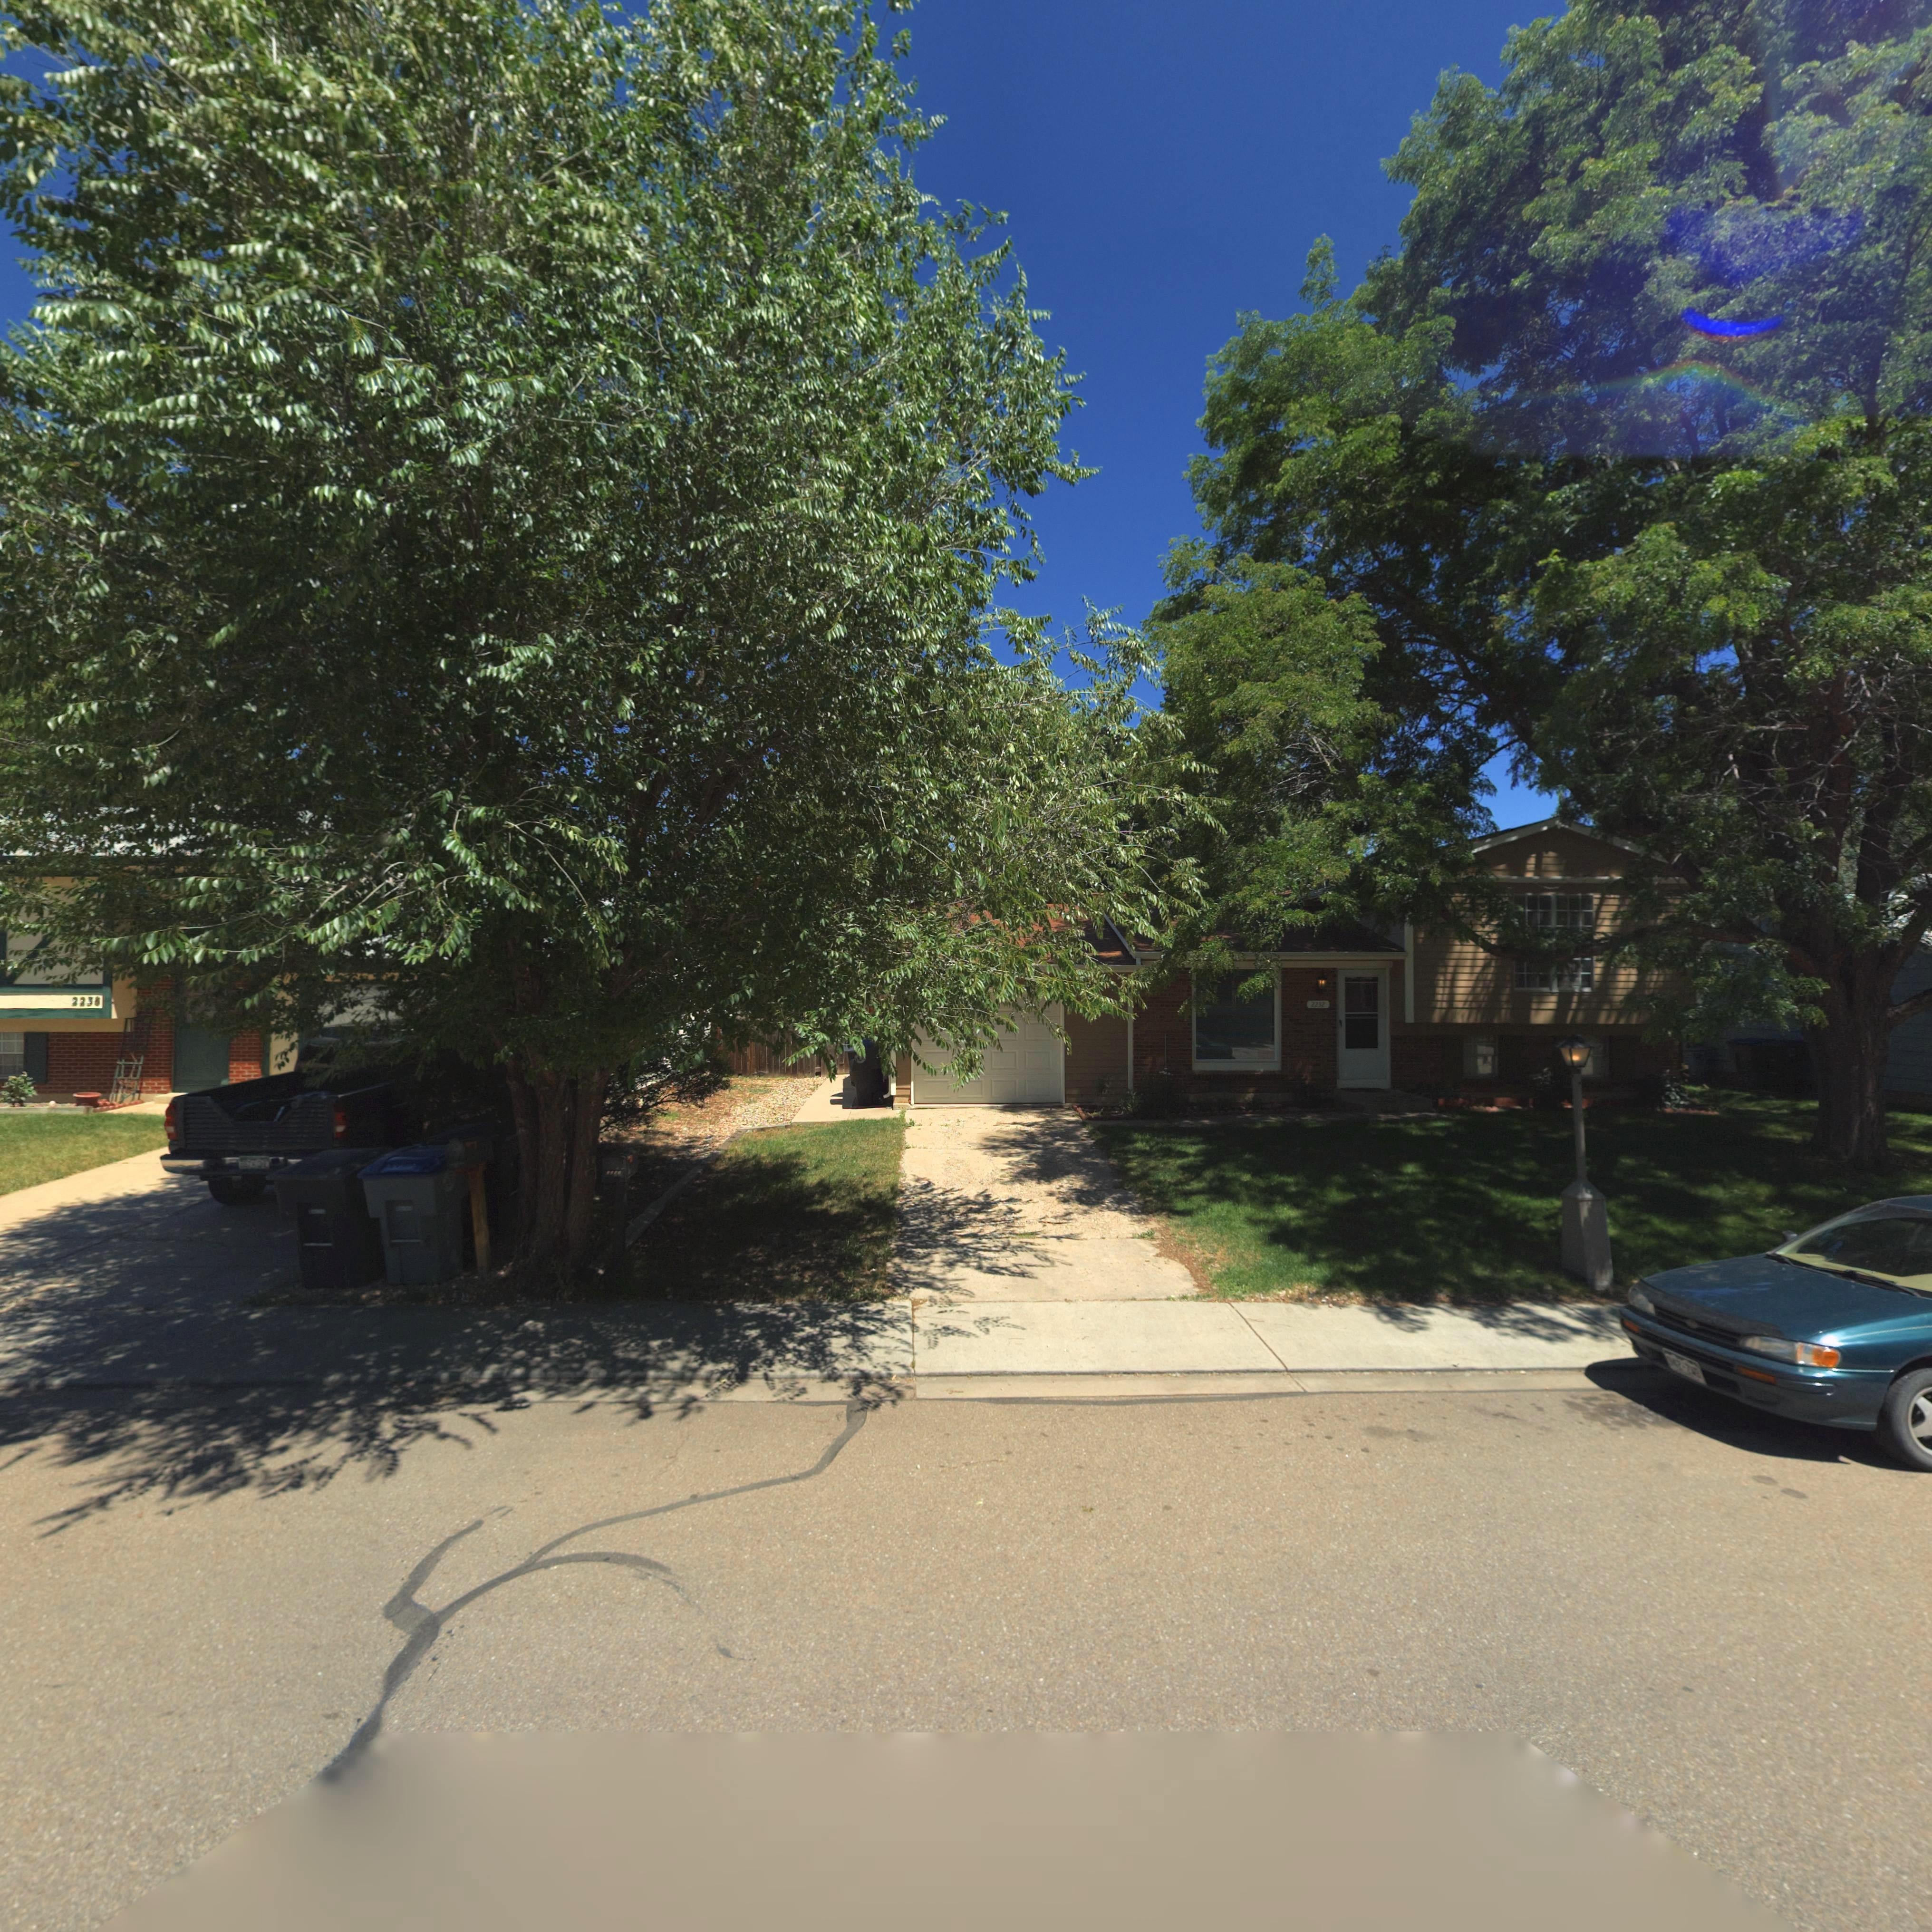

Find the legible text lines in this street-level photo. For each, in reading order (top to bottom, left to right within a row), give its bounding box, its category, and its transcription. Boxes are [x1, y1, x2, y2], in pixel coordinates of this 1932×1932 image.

[71, 995, 100, 1006] StreetNumber: 2238
[1311, 1001, 1325, 1007] StreetNumber: 2232